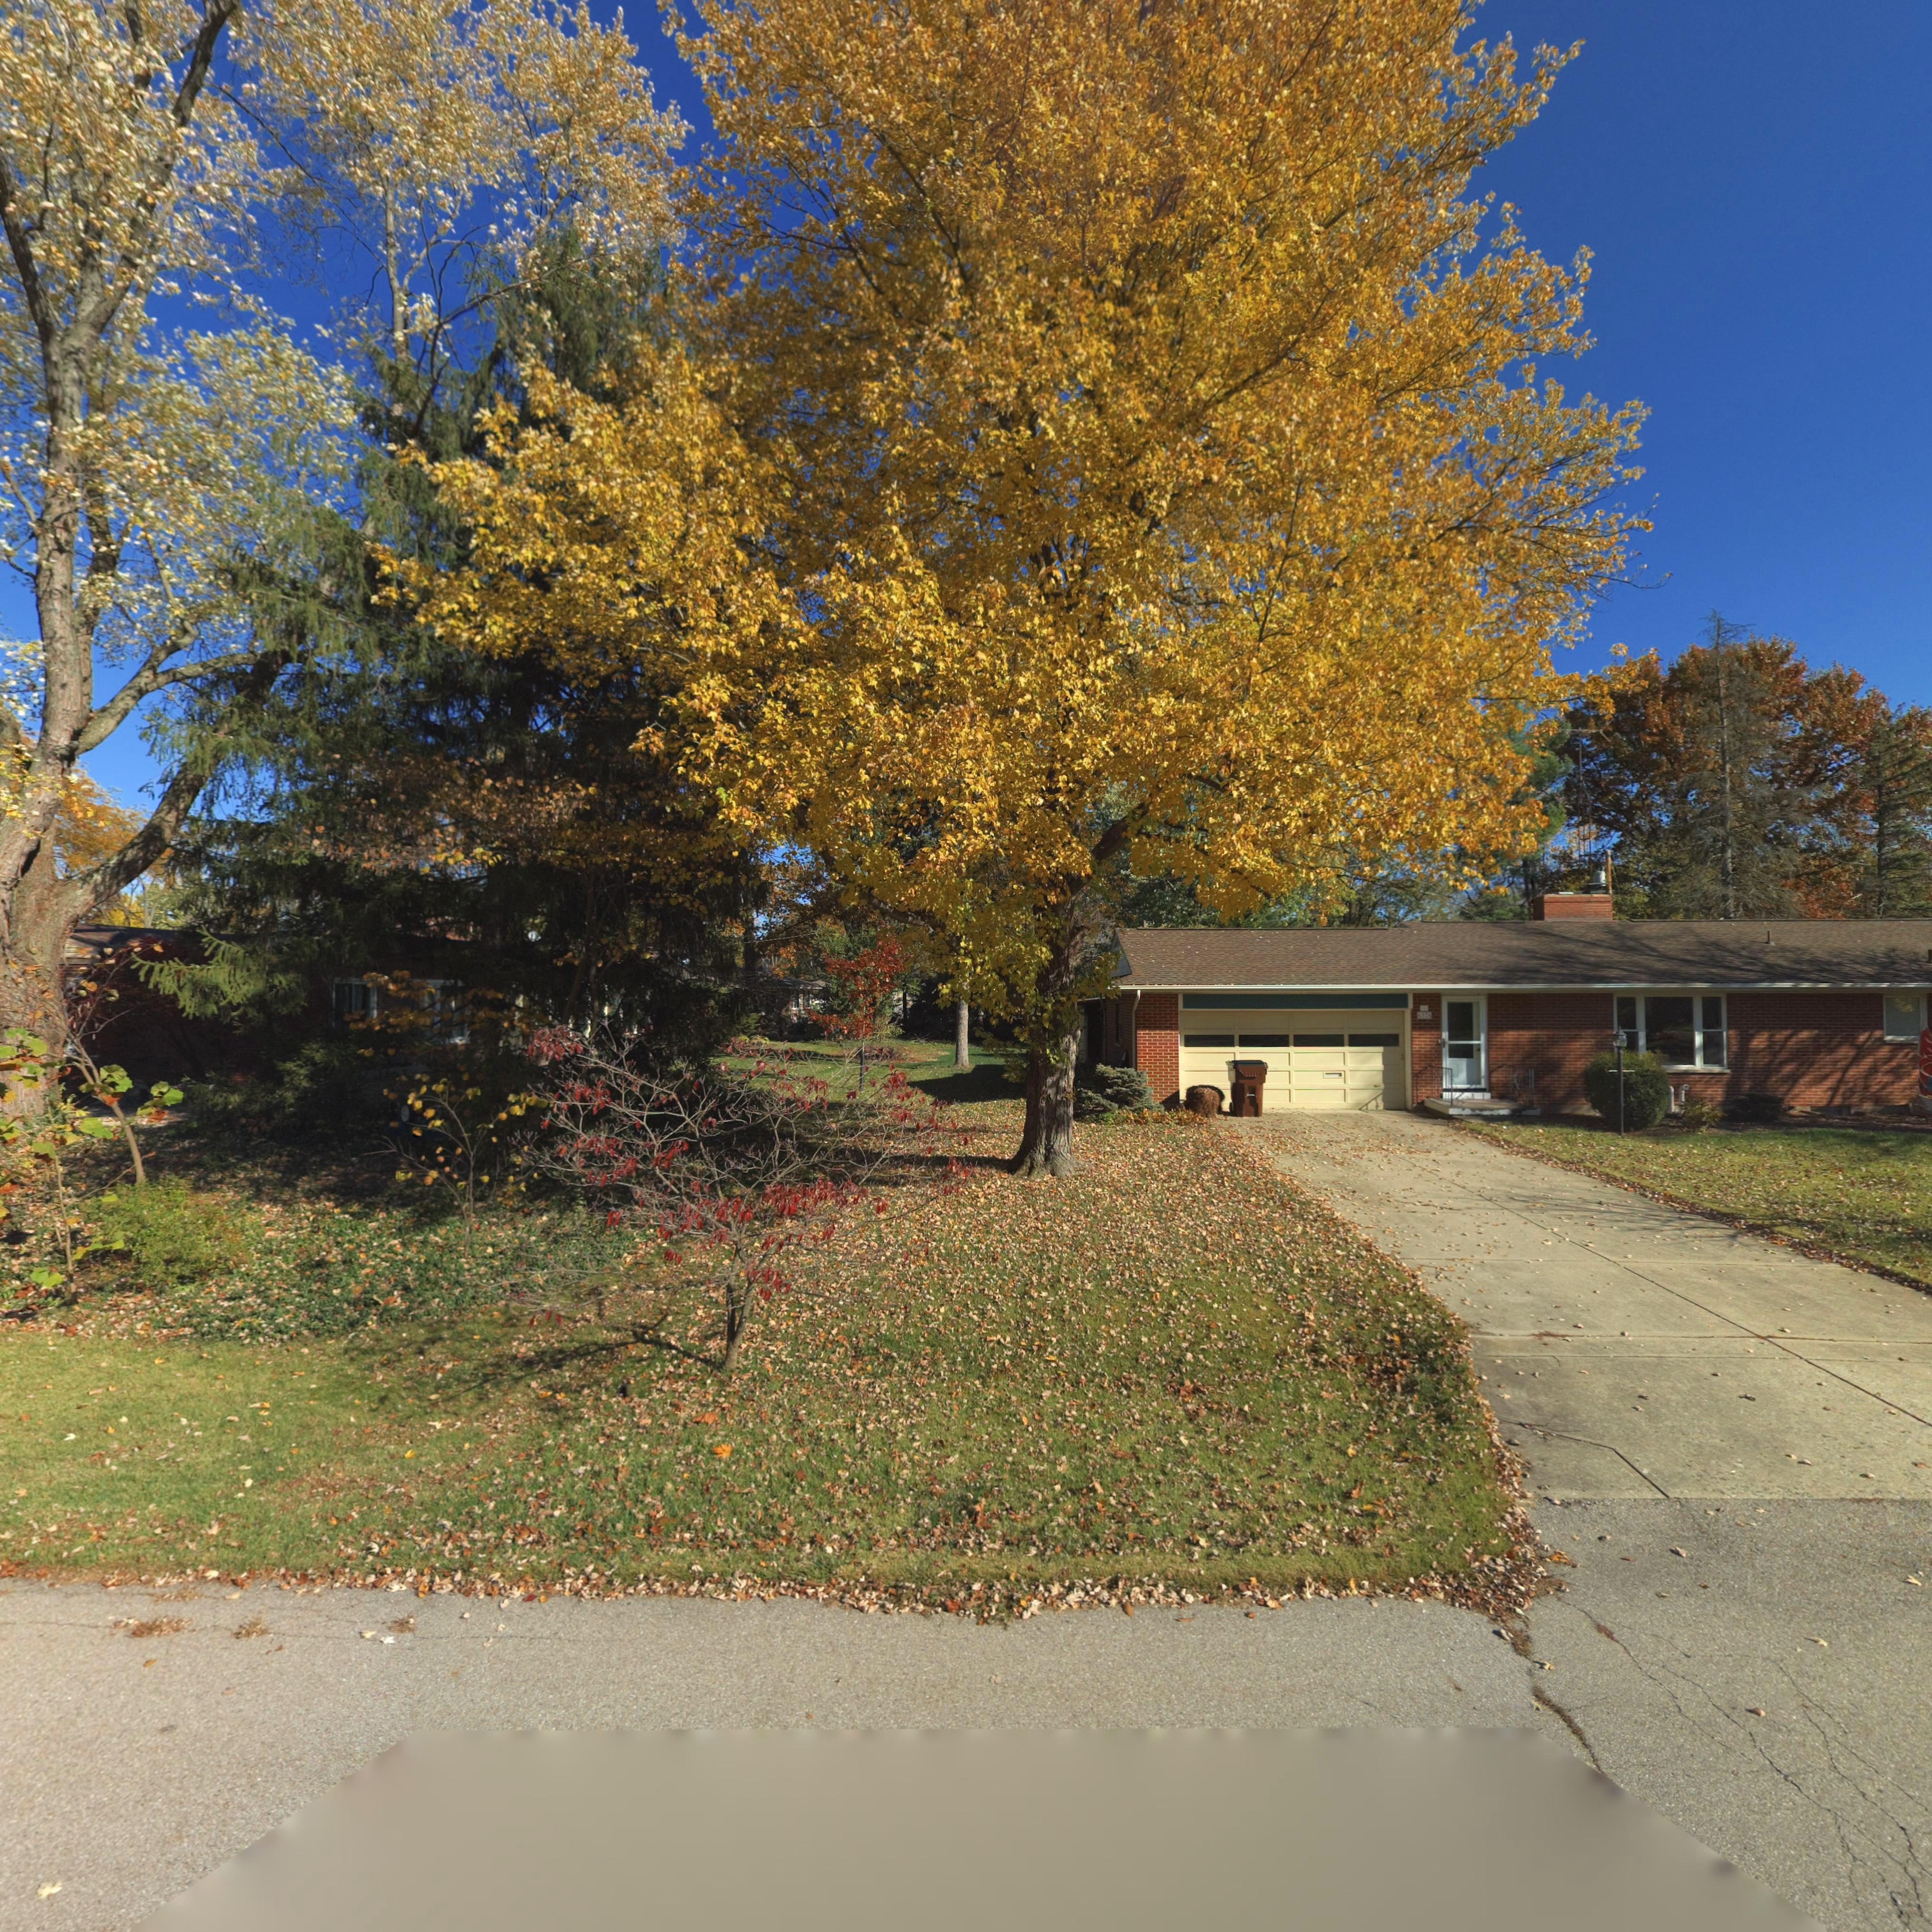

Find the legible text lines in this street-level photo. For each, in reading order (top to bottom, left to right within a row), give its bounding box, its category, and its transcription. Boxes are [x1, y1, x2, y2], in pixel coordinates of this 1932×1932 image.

[1417, 1012, 1432, 1018] StreetNumber: 6376